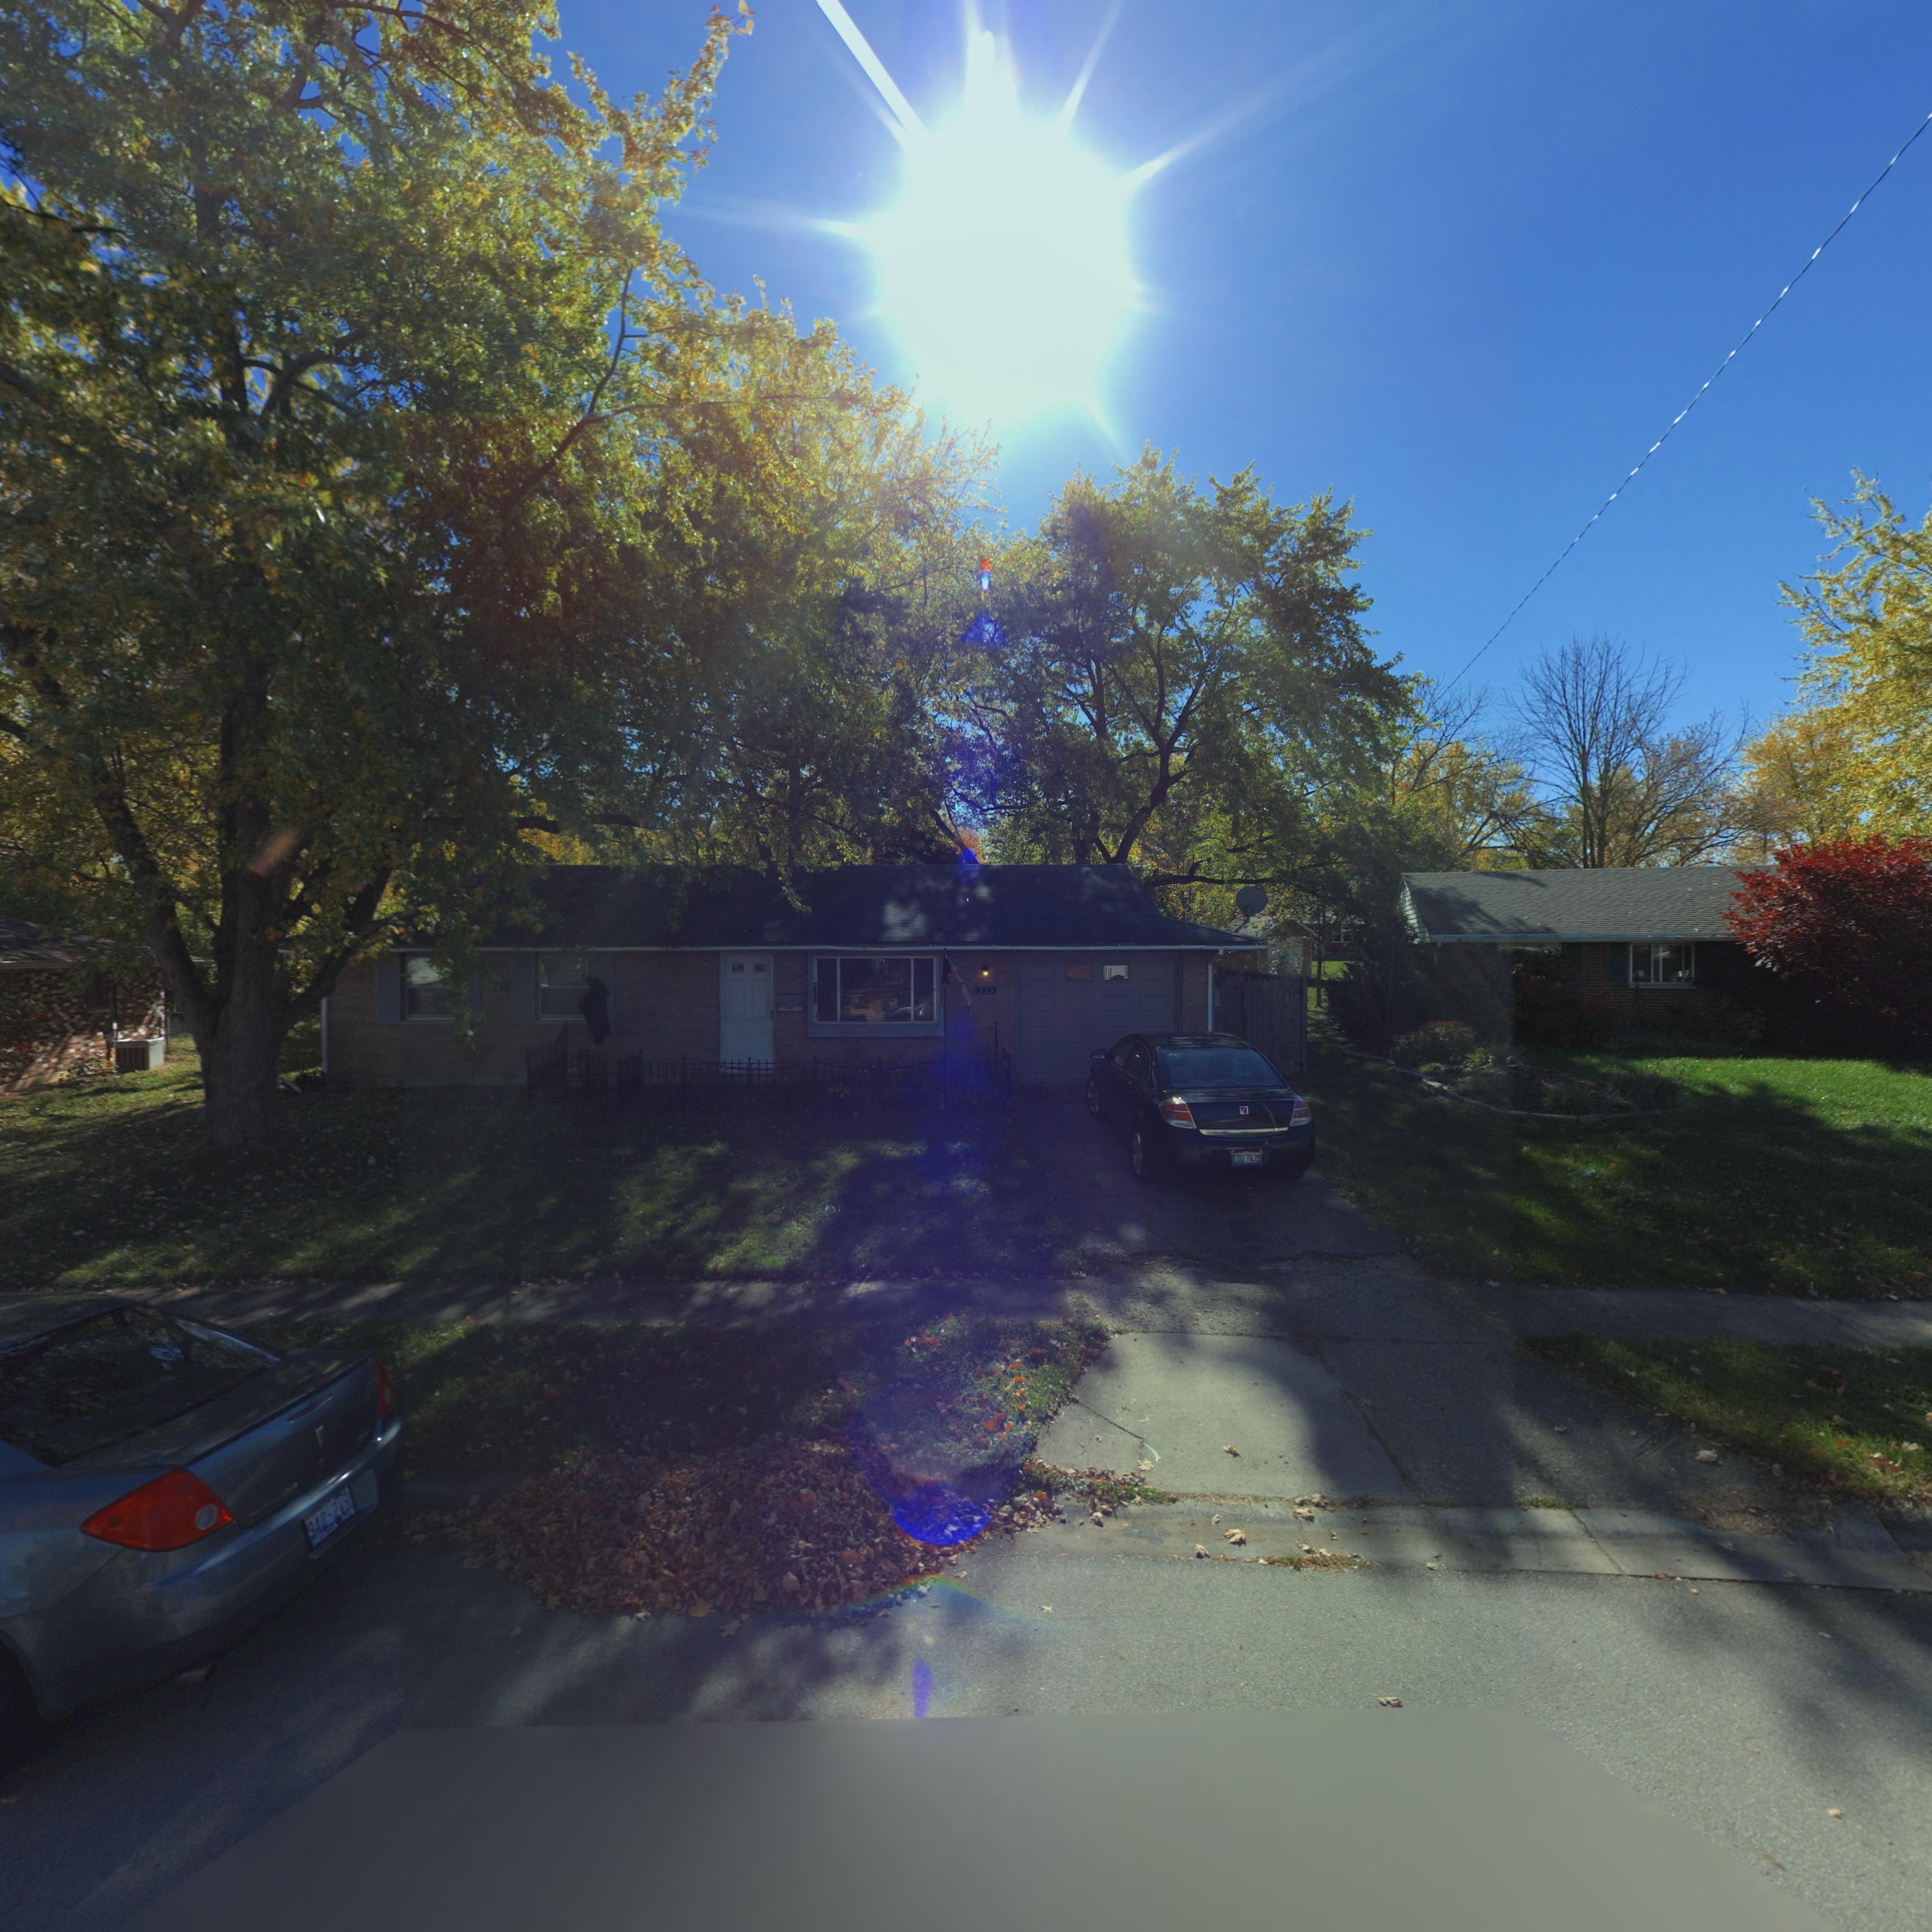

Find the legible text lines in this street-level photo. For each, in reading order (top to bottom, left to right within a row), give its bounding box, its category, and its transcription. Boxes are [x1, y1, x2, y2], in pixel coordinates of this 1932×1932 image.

[978, 986, 995, 995] StreetNumber: 335